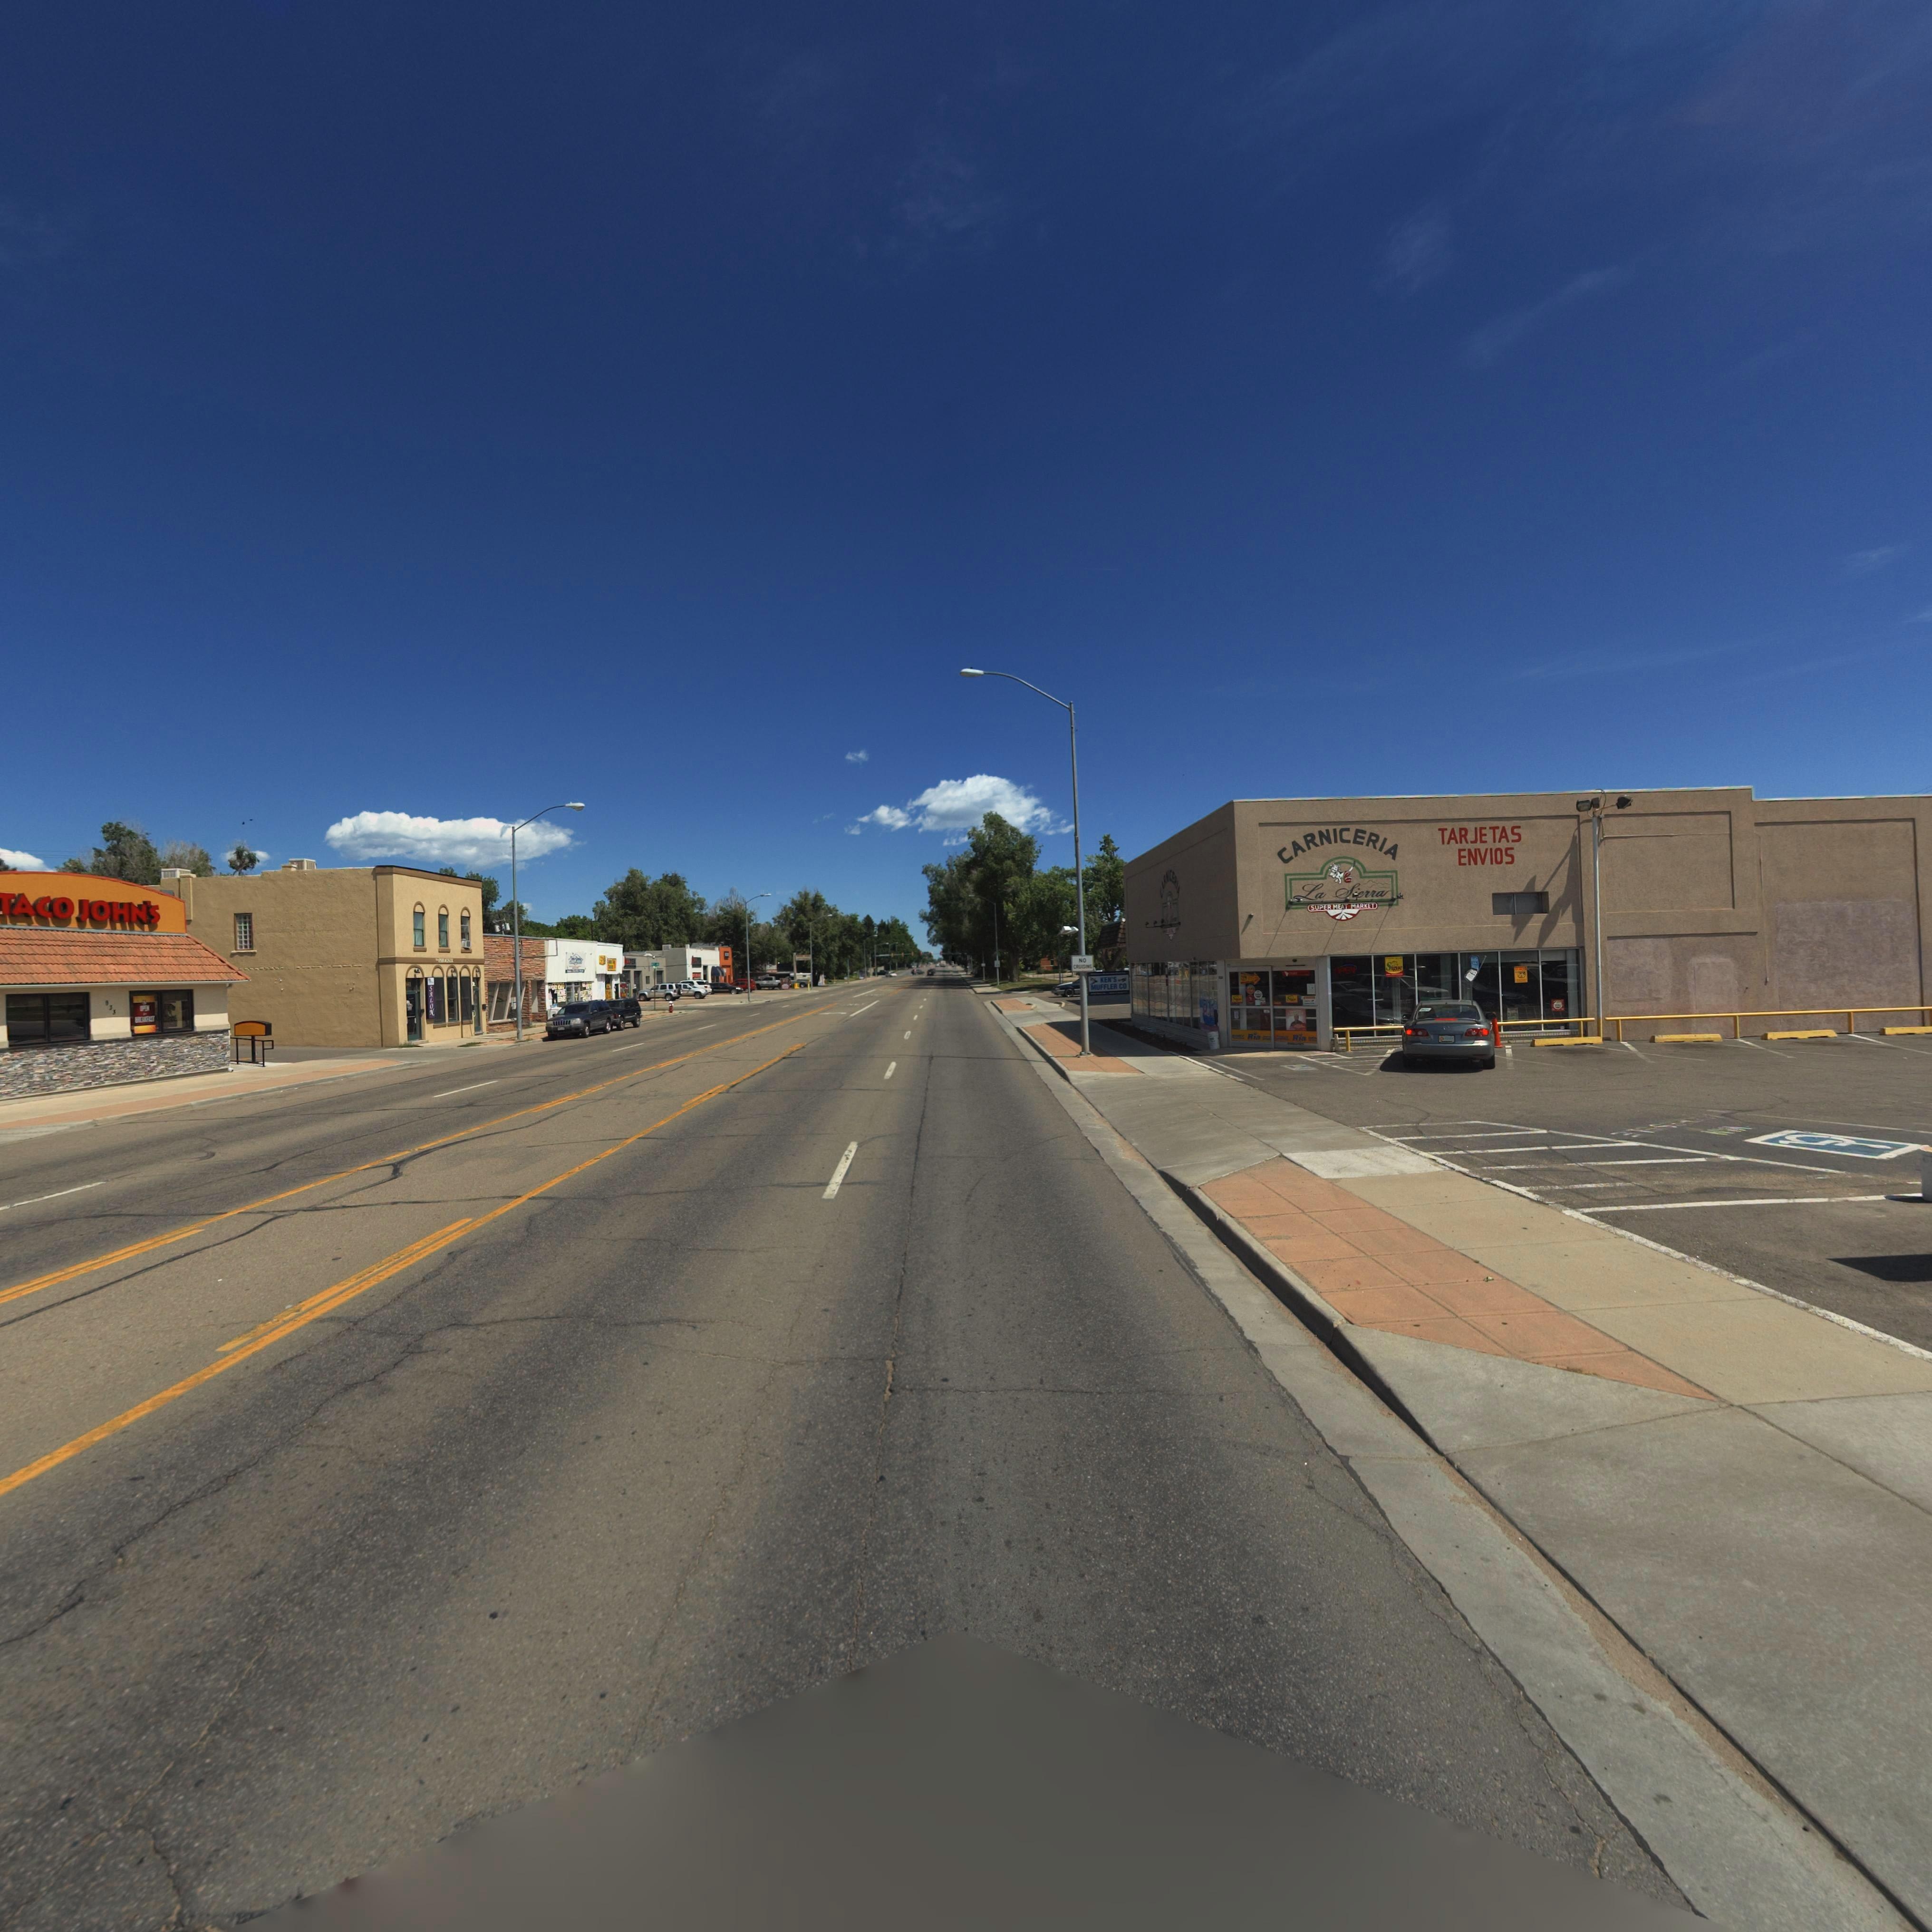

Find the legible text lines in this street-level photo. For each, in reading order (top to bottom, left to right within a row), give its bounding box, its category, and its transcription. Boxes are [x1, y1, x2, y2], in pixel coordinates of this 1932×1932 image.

[1276, 827, 1400, 864] BusinessName: CARNICERIA
[1159, 869, 1180, 898] BusinessName: CARNICERIA
[1293, 882, 1390, 900] BusinessName: La Sierra
[0, 892, 161, 924] BusinessName: TACO JOHN's
[435, 958, 454, 962] BusinessName: The PHOENIX
[1100, 976, 1116, 983] BusinessName: KEN's
[1091, 983, 1126, 990] BusinessName: MUFFLER CO
[105, 1000, 116, 1015] StreetNumber: 933